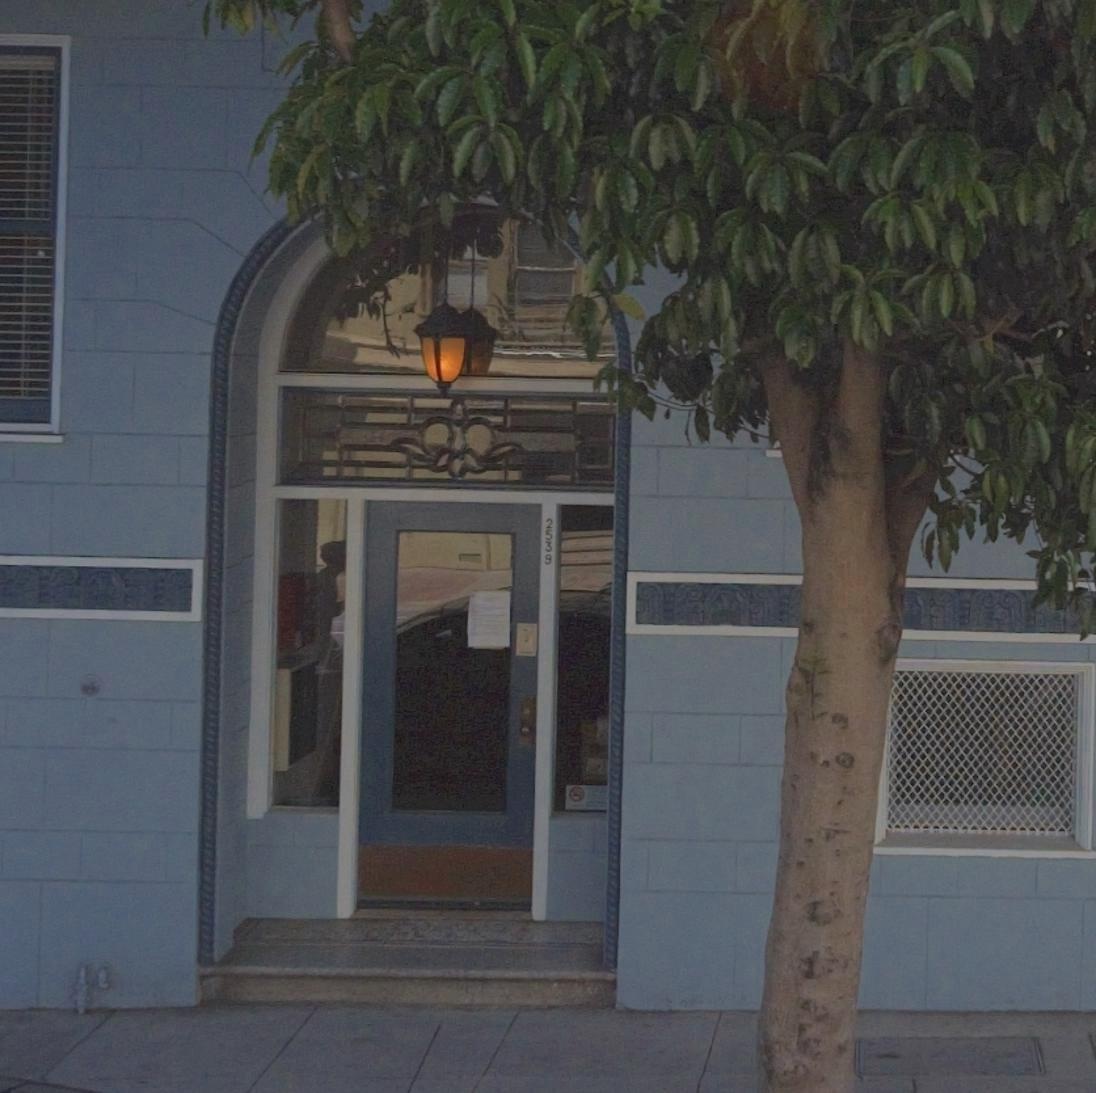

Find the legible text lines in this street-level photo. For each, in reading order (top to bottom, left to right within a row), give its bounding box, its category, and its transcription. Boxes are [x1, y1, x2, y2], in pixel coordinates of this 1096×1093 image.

[544, 517, 554, 565] StreetNumber: 2539